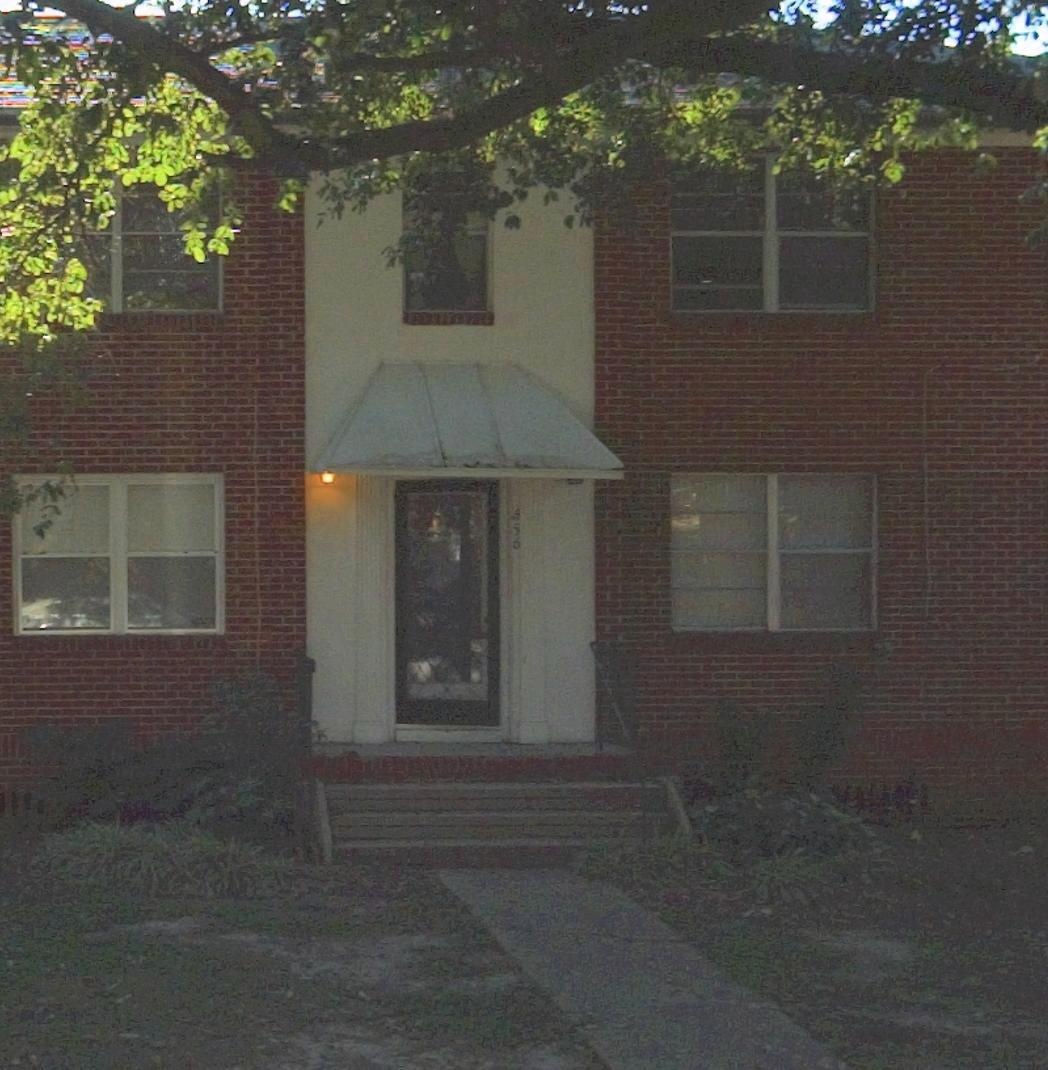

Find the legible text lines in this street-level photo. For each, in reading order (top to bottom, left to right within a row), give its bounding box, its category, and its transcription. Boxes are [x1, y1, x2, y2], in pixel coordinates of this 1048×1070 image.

[511, 506, 522, 552] StreetNumber: 656